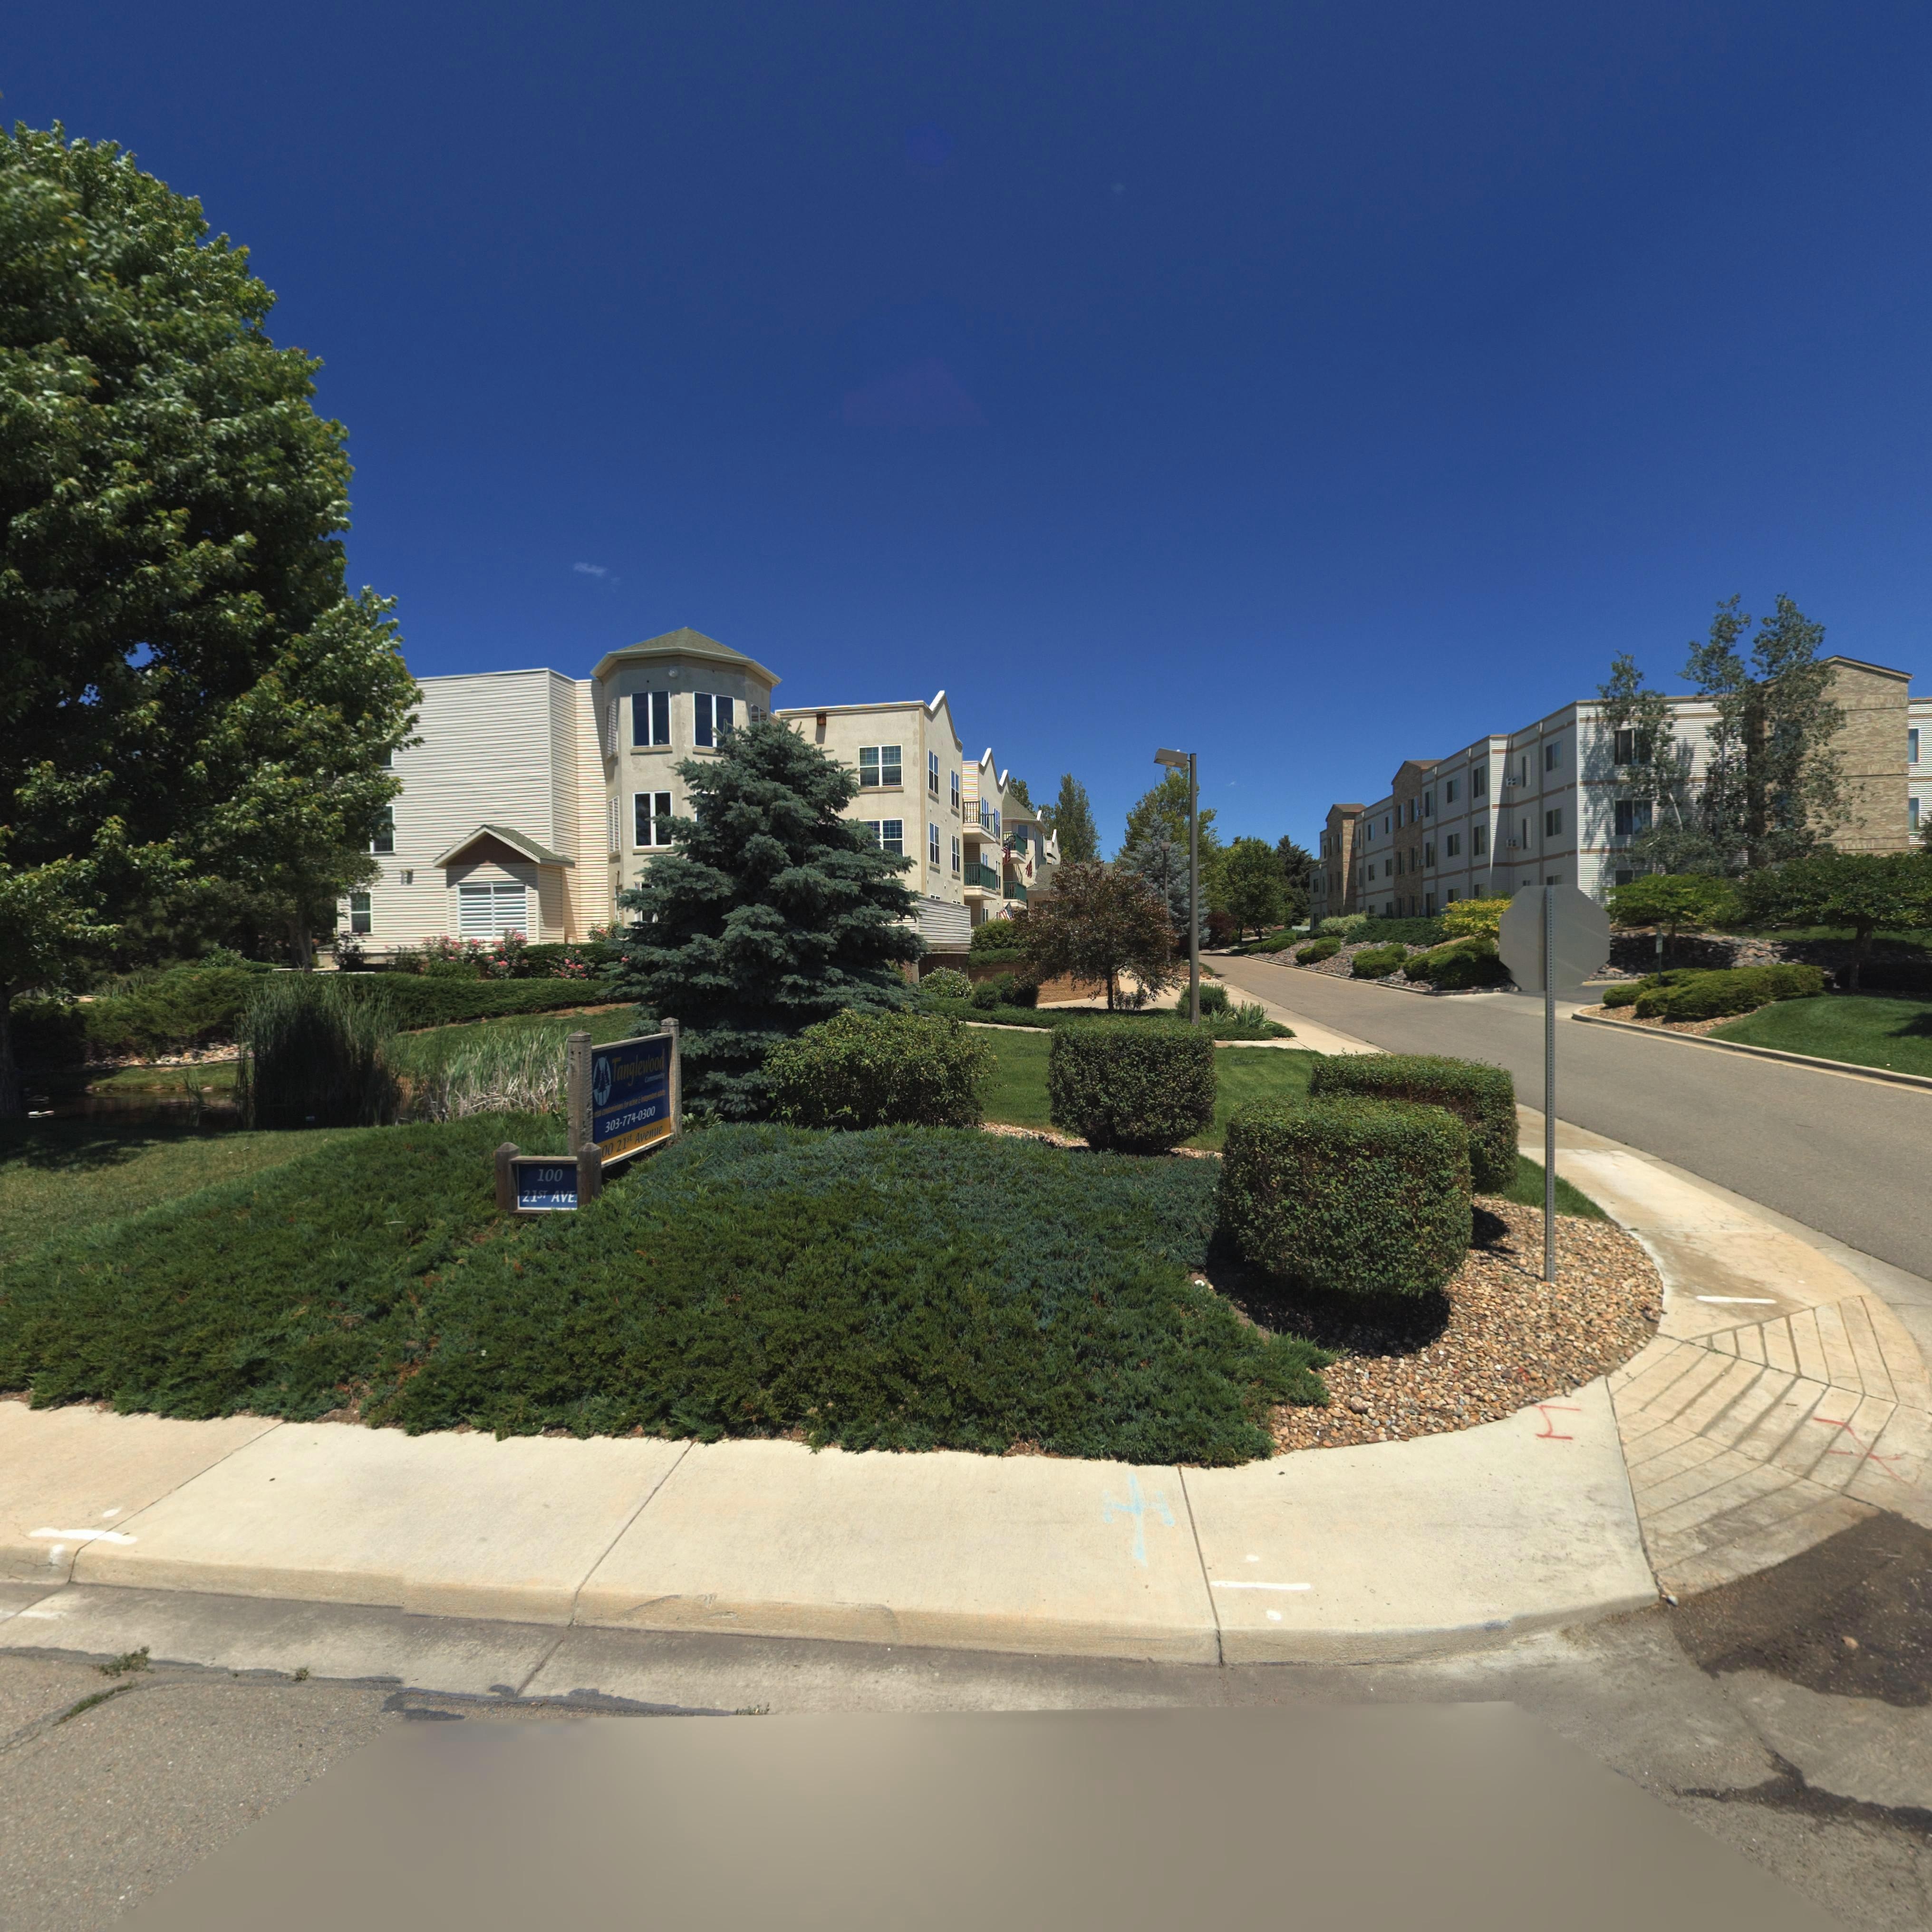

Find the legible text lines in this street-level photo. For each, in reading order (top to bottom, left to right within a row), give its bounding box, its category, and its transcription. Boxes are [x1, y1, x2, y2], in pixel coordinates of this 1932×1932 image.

[616, 1124, 663, 1153] StreetName: 21st Avenue
[601, 1141, 613, 1158] StreetNumber: 00
[536, 1169, 563, 1181] StreetNumber: 100
[521, 1189, 576, 1203] StreetName: 21ST AVE